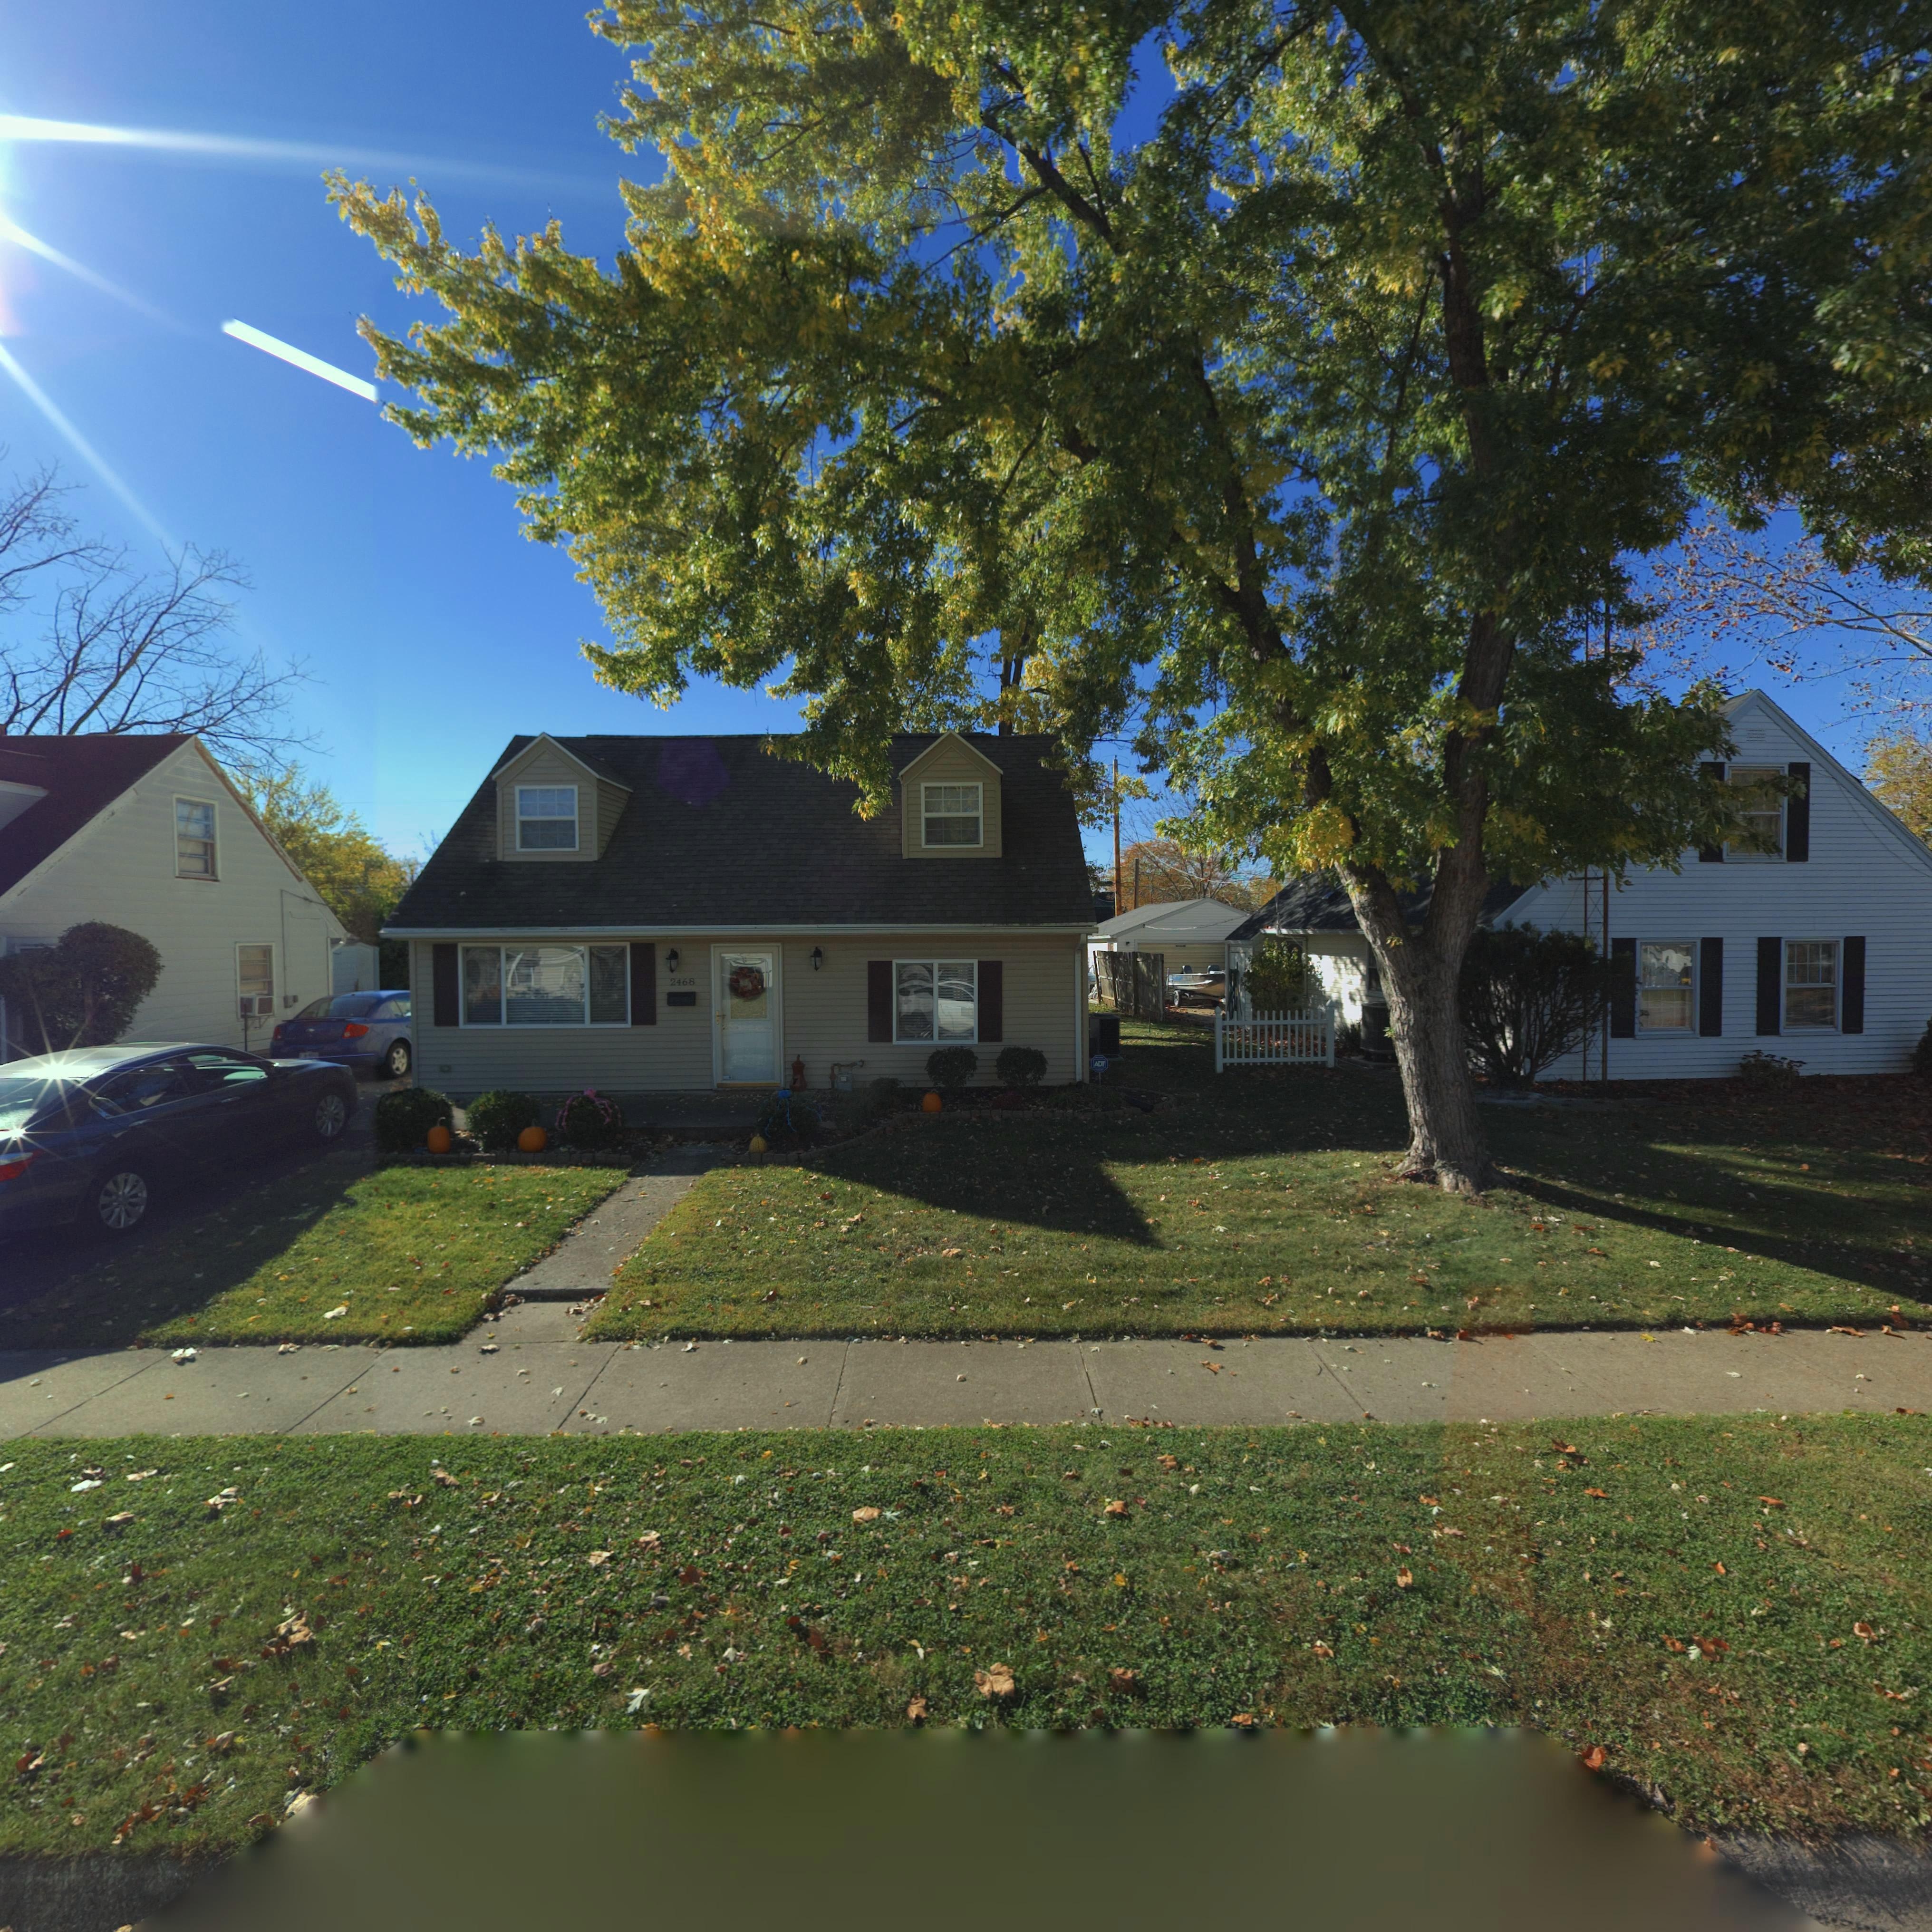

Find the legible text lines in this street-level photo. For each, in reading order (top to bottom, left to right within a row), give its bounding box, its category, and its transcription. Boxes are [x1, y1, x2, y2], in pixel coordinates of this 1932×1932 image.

[670, 978, 695, 986] StreetNumber: 2468